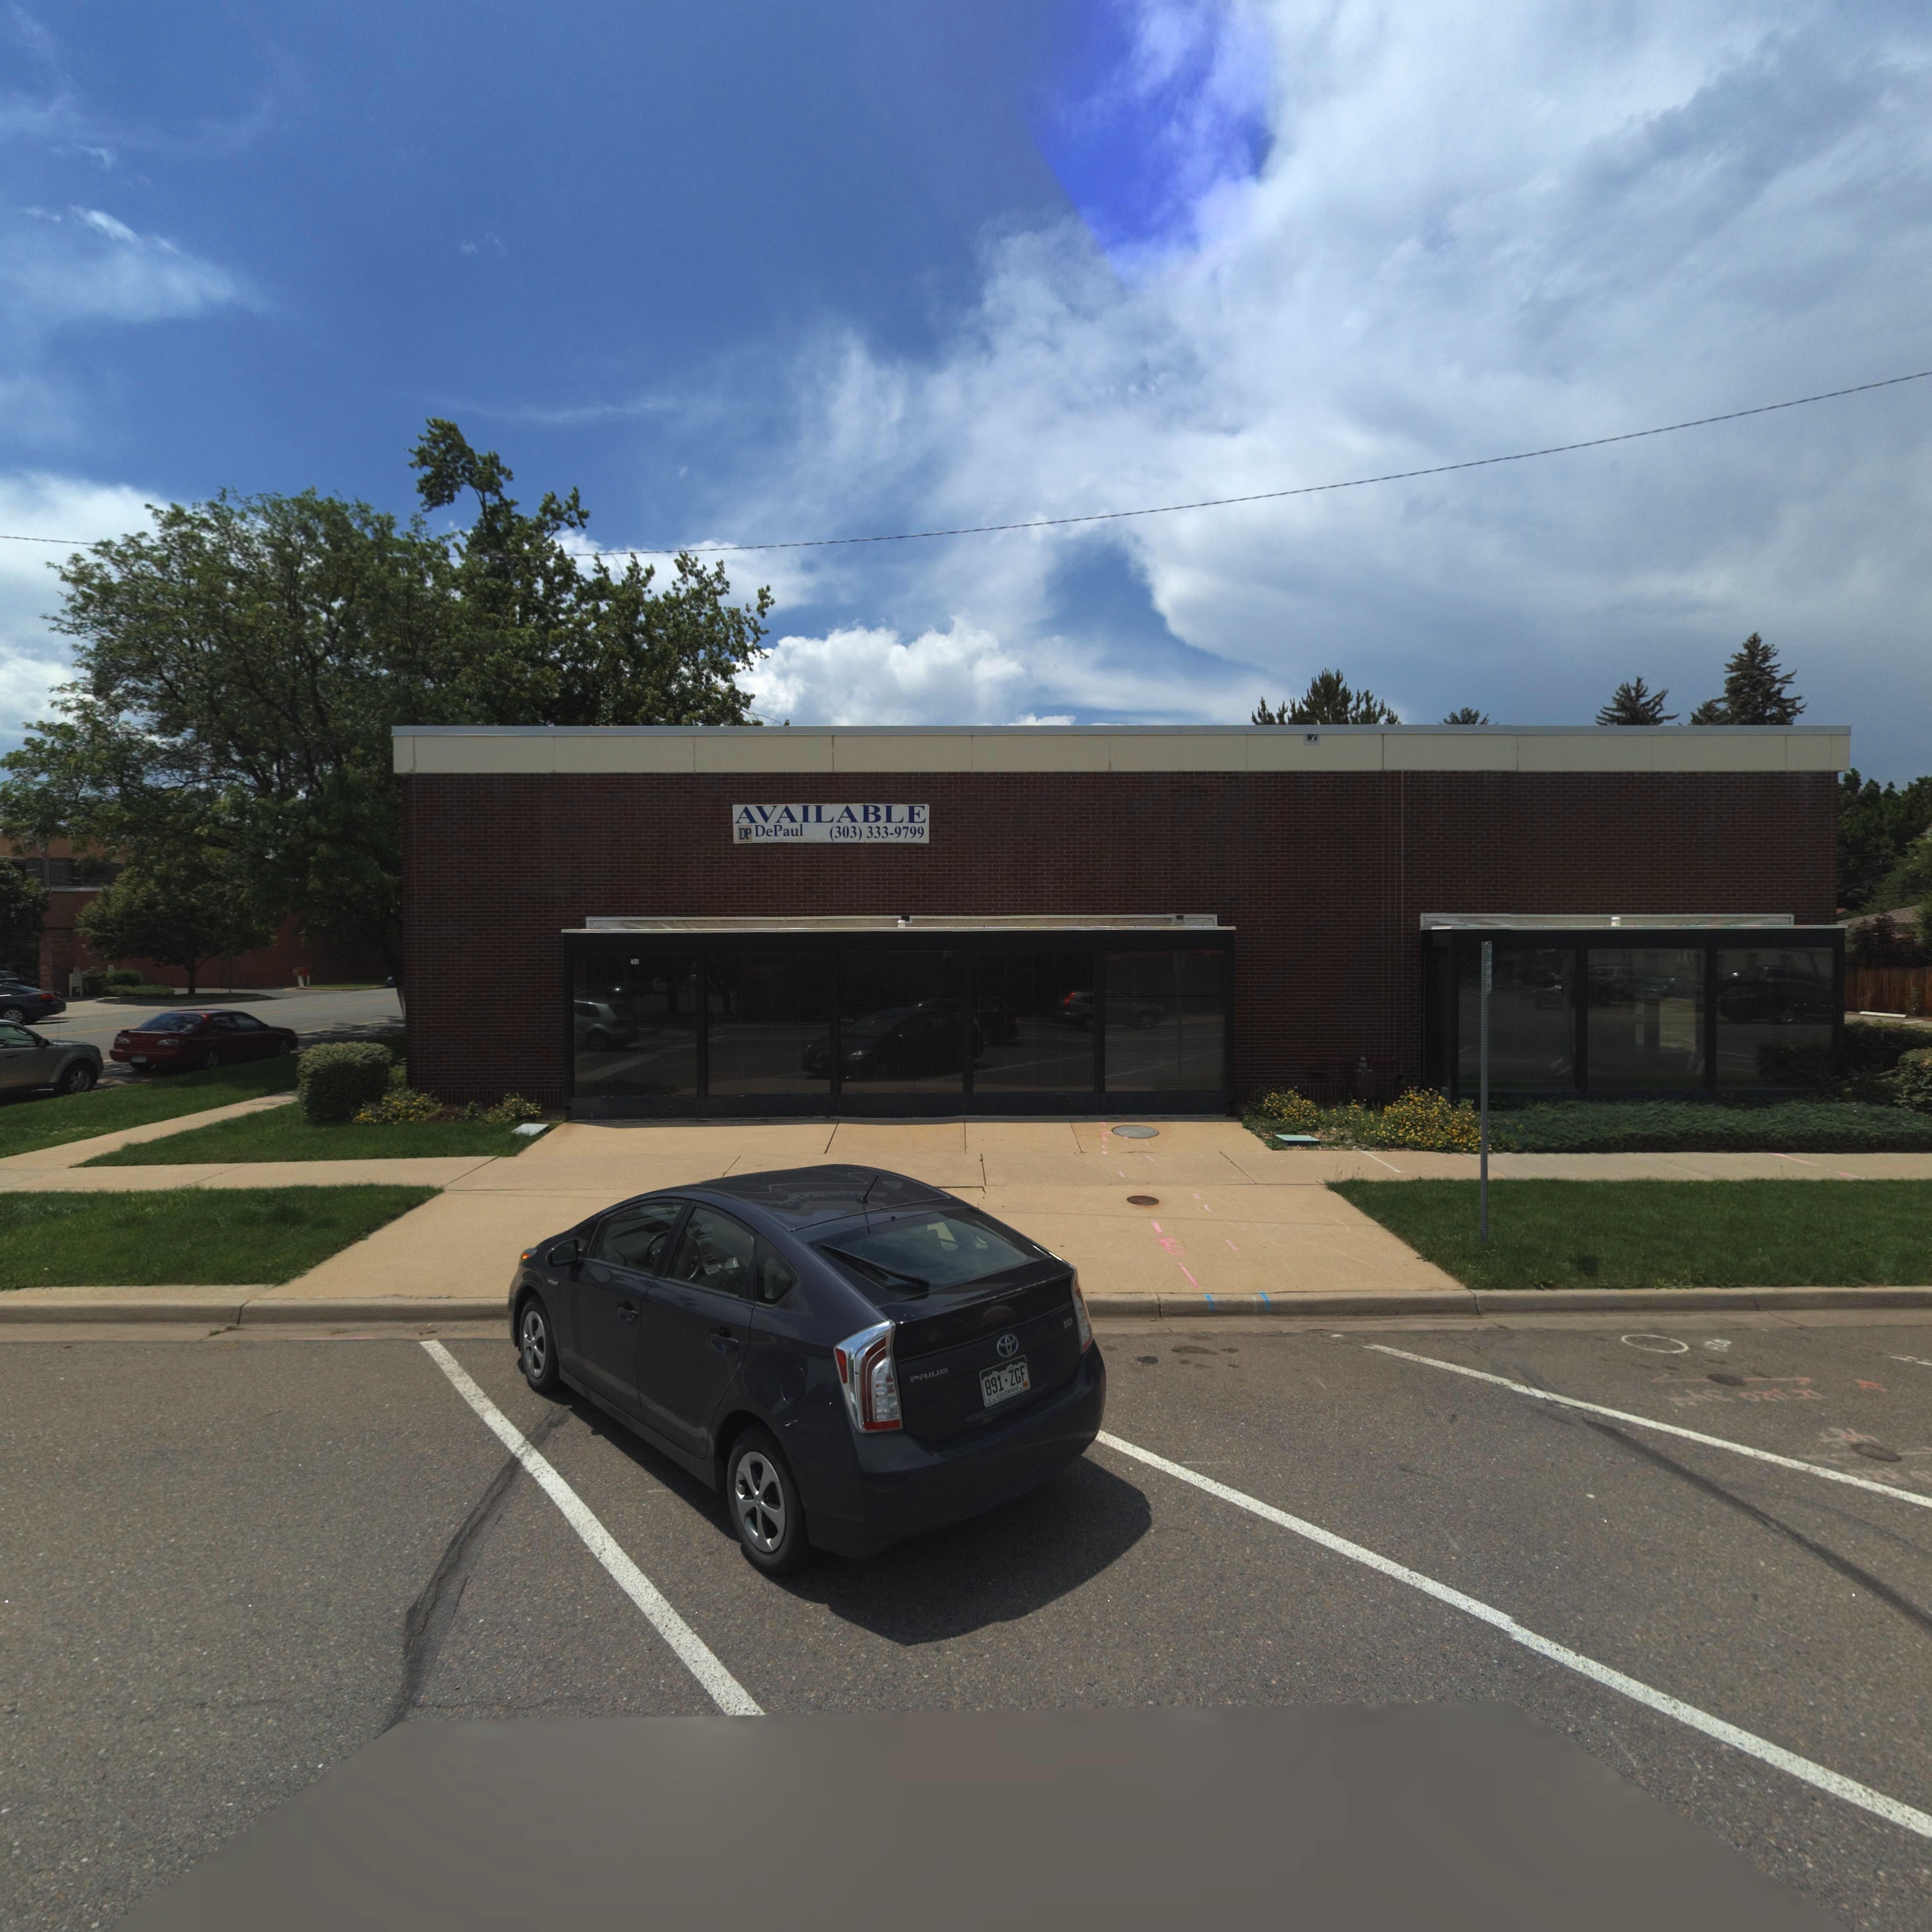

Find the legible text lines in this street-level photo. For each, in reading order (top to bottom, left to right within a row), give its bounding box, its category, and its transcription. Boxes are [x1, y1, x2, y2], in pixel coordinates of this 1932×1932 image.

[630, 958, 639, 965] StreetNumber: 401